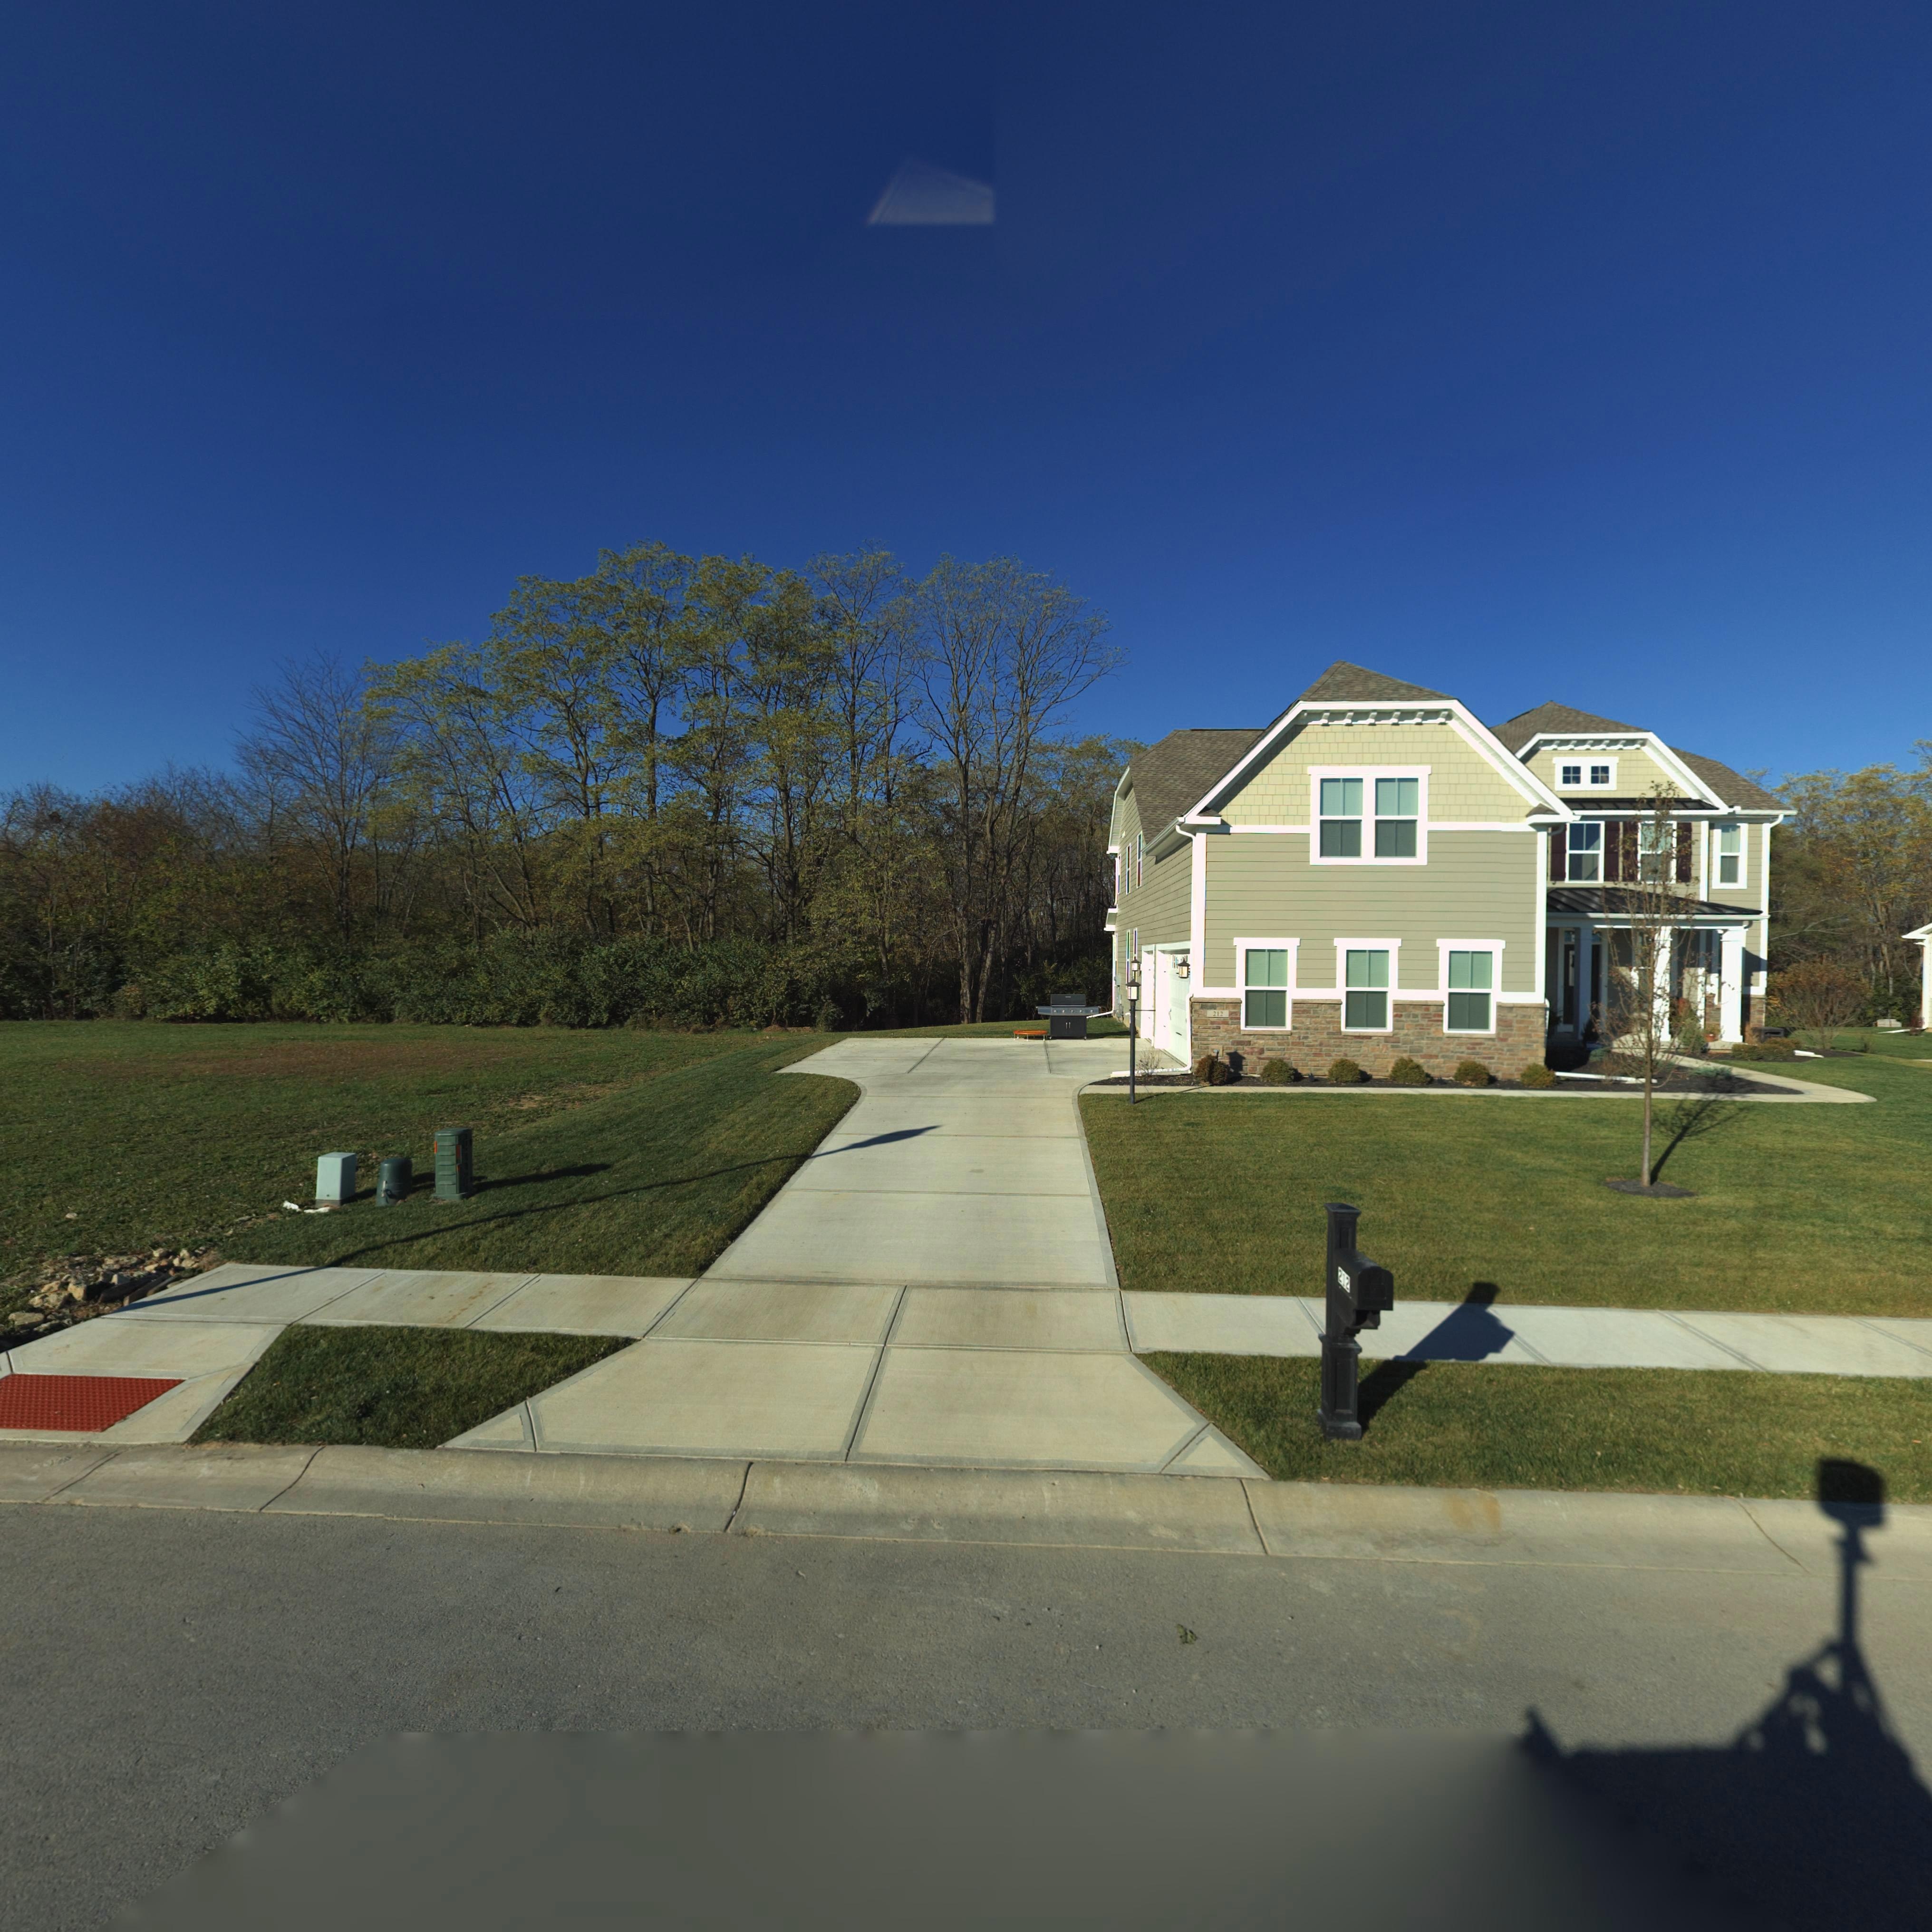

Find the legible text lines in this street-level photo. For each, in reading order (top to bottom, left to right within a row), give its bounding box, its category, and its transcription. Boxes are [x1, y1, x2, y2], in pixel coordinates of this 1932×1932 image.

[1337, 1266, 1351, 1293] StreetNumber: 212